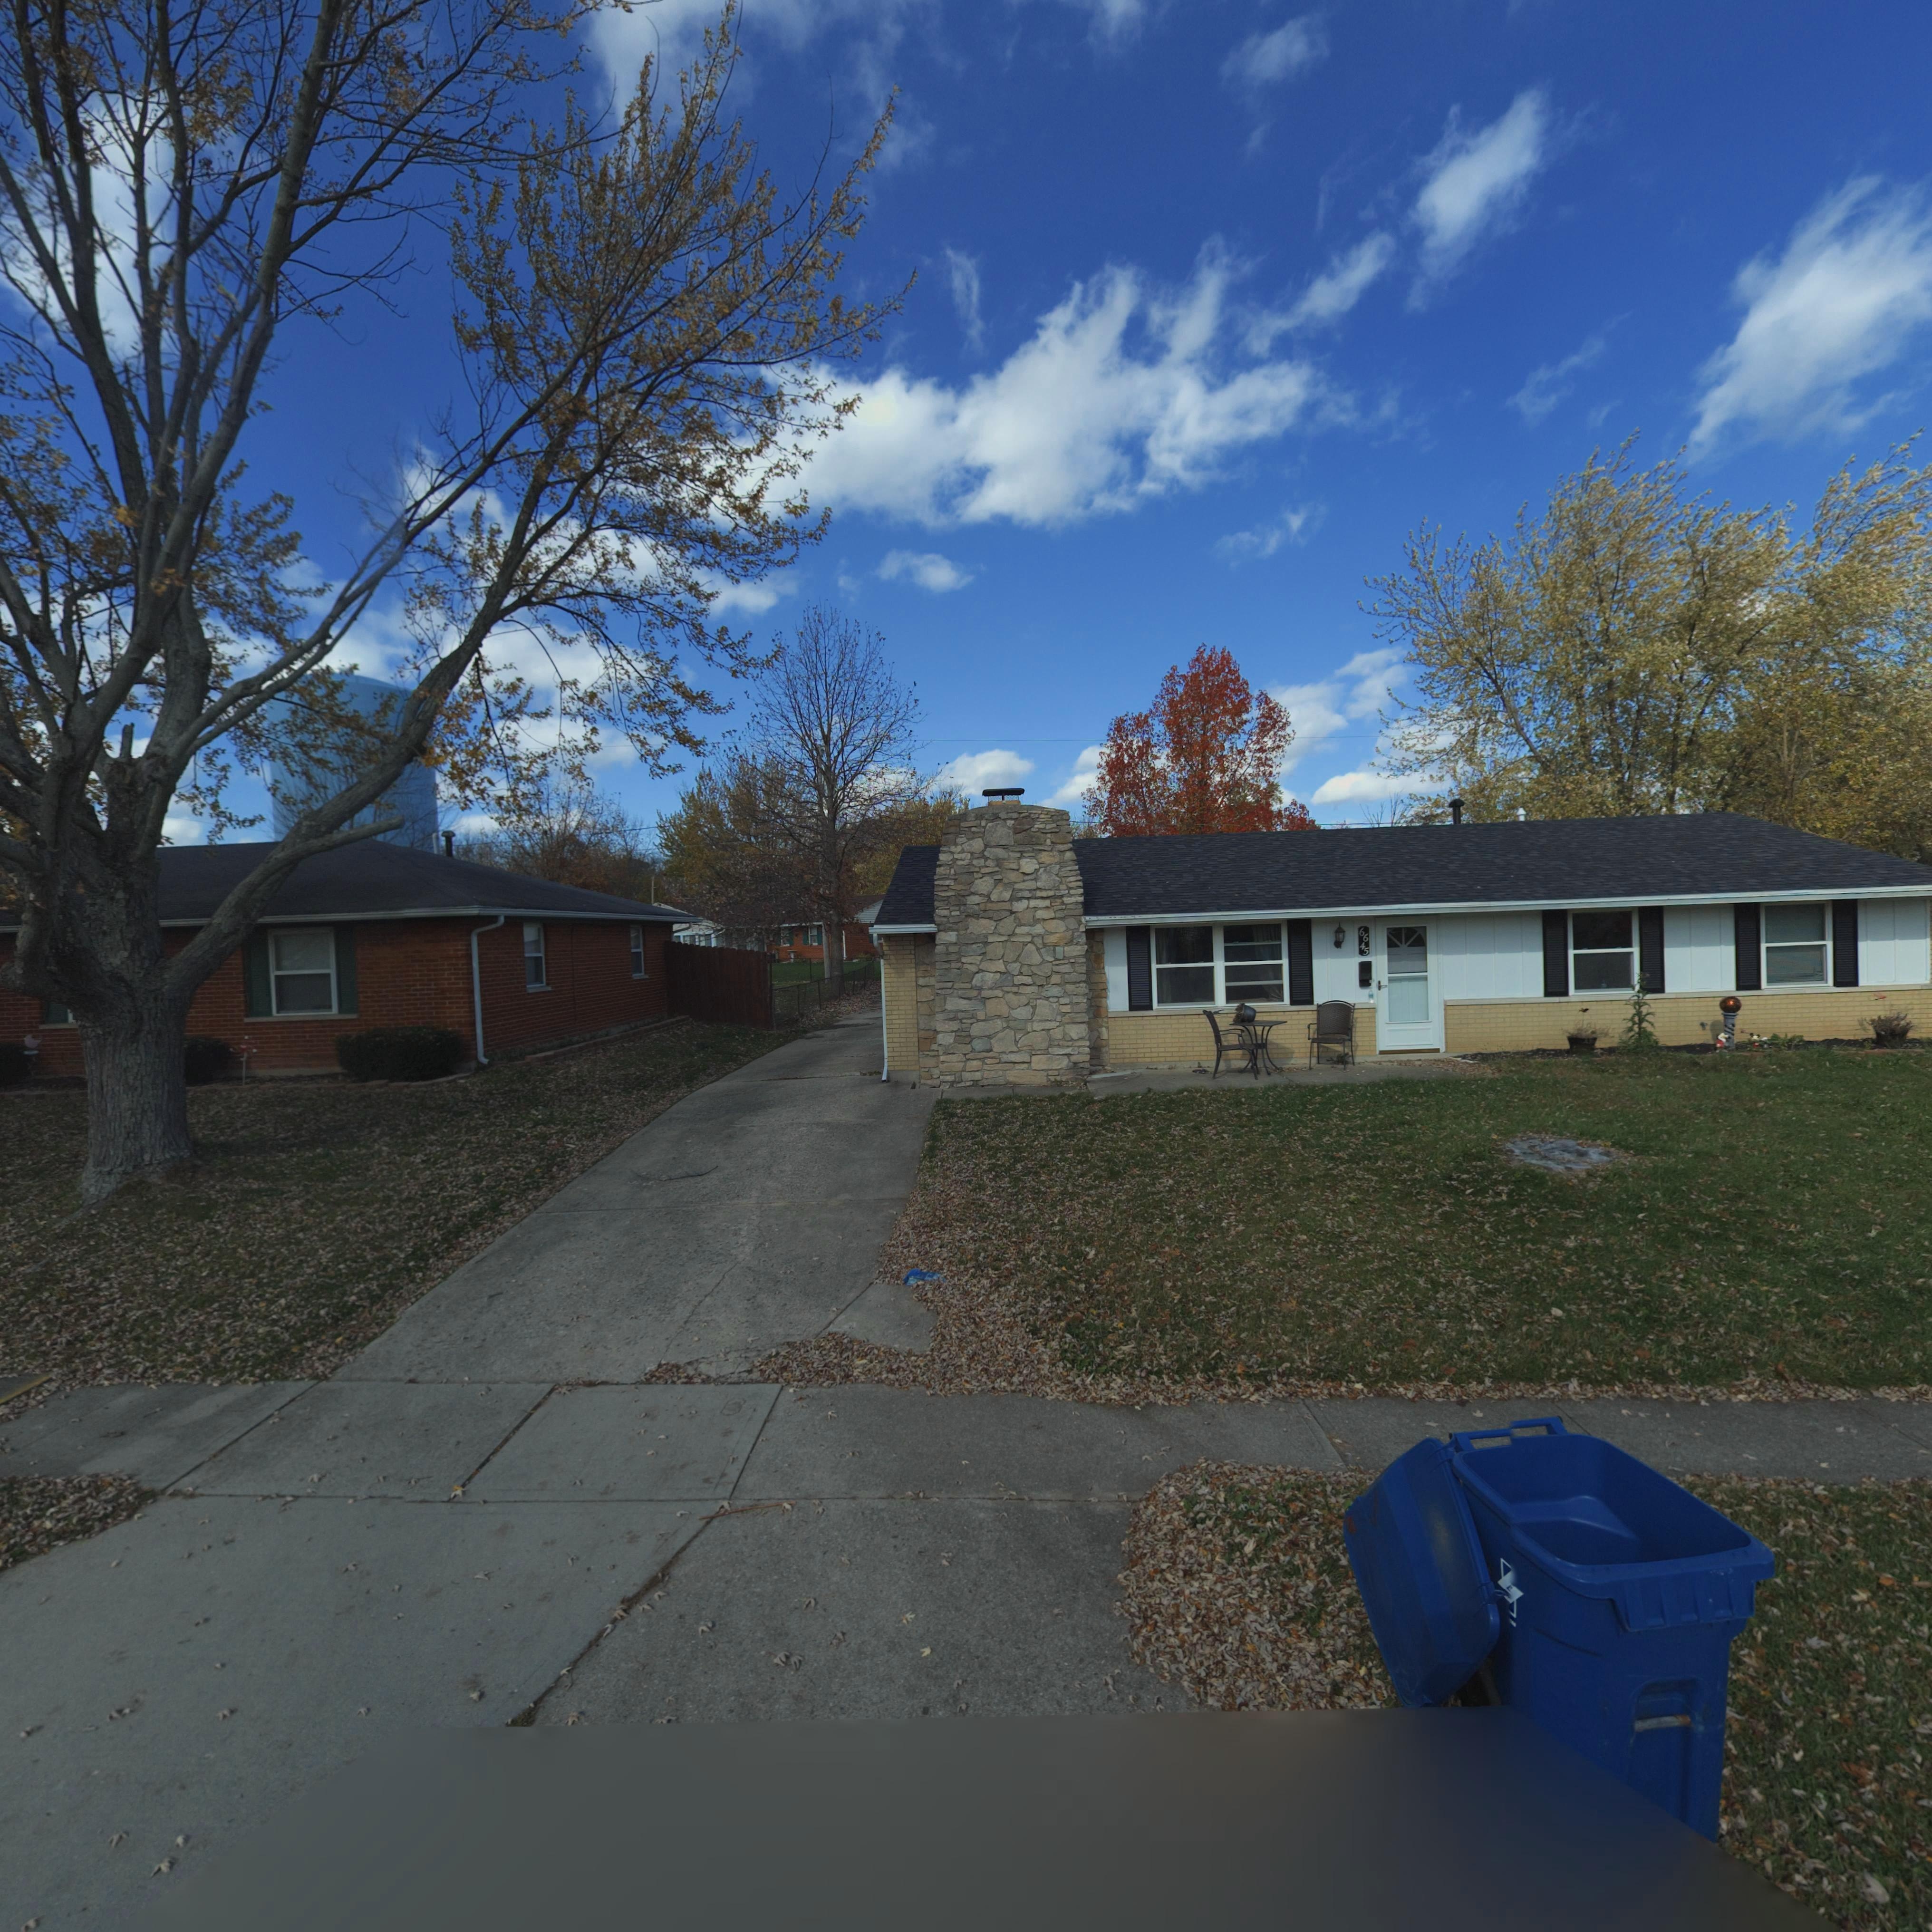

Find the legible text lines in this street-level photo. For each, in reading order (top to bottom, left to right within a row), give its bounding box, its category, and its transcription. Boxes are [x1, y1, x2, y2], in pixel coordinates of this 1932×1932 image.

[1358, 926, 1369, 943] StreetNumber: 66
[1358, 941, 1370, 956] StreetNumber: 45